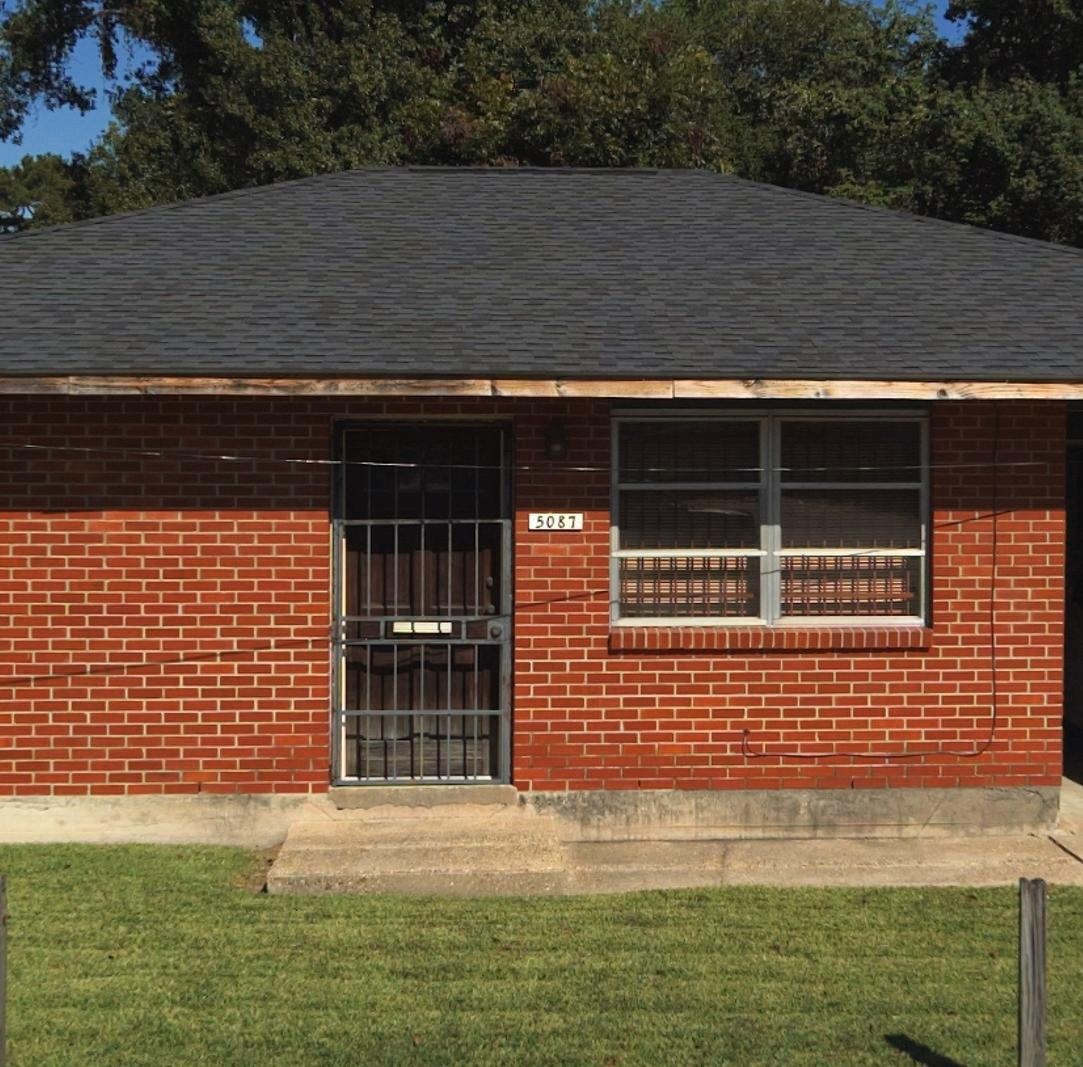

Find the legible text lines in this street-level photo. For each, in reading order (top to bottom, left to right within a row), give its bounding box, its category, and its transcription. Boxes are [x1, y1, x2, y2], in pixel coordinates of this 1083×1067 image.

[535, 515, 576, 529] StreetNumber: 5087